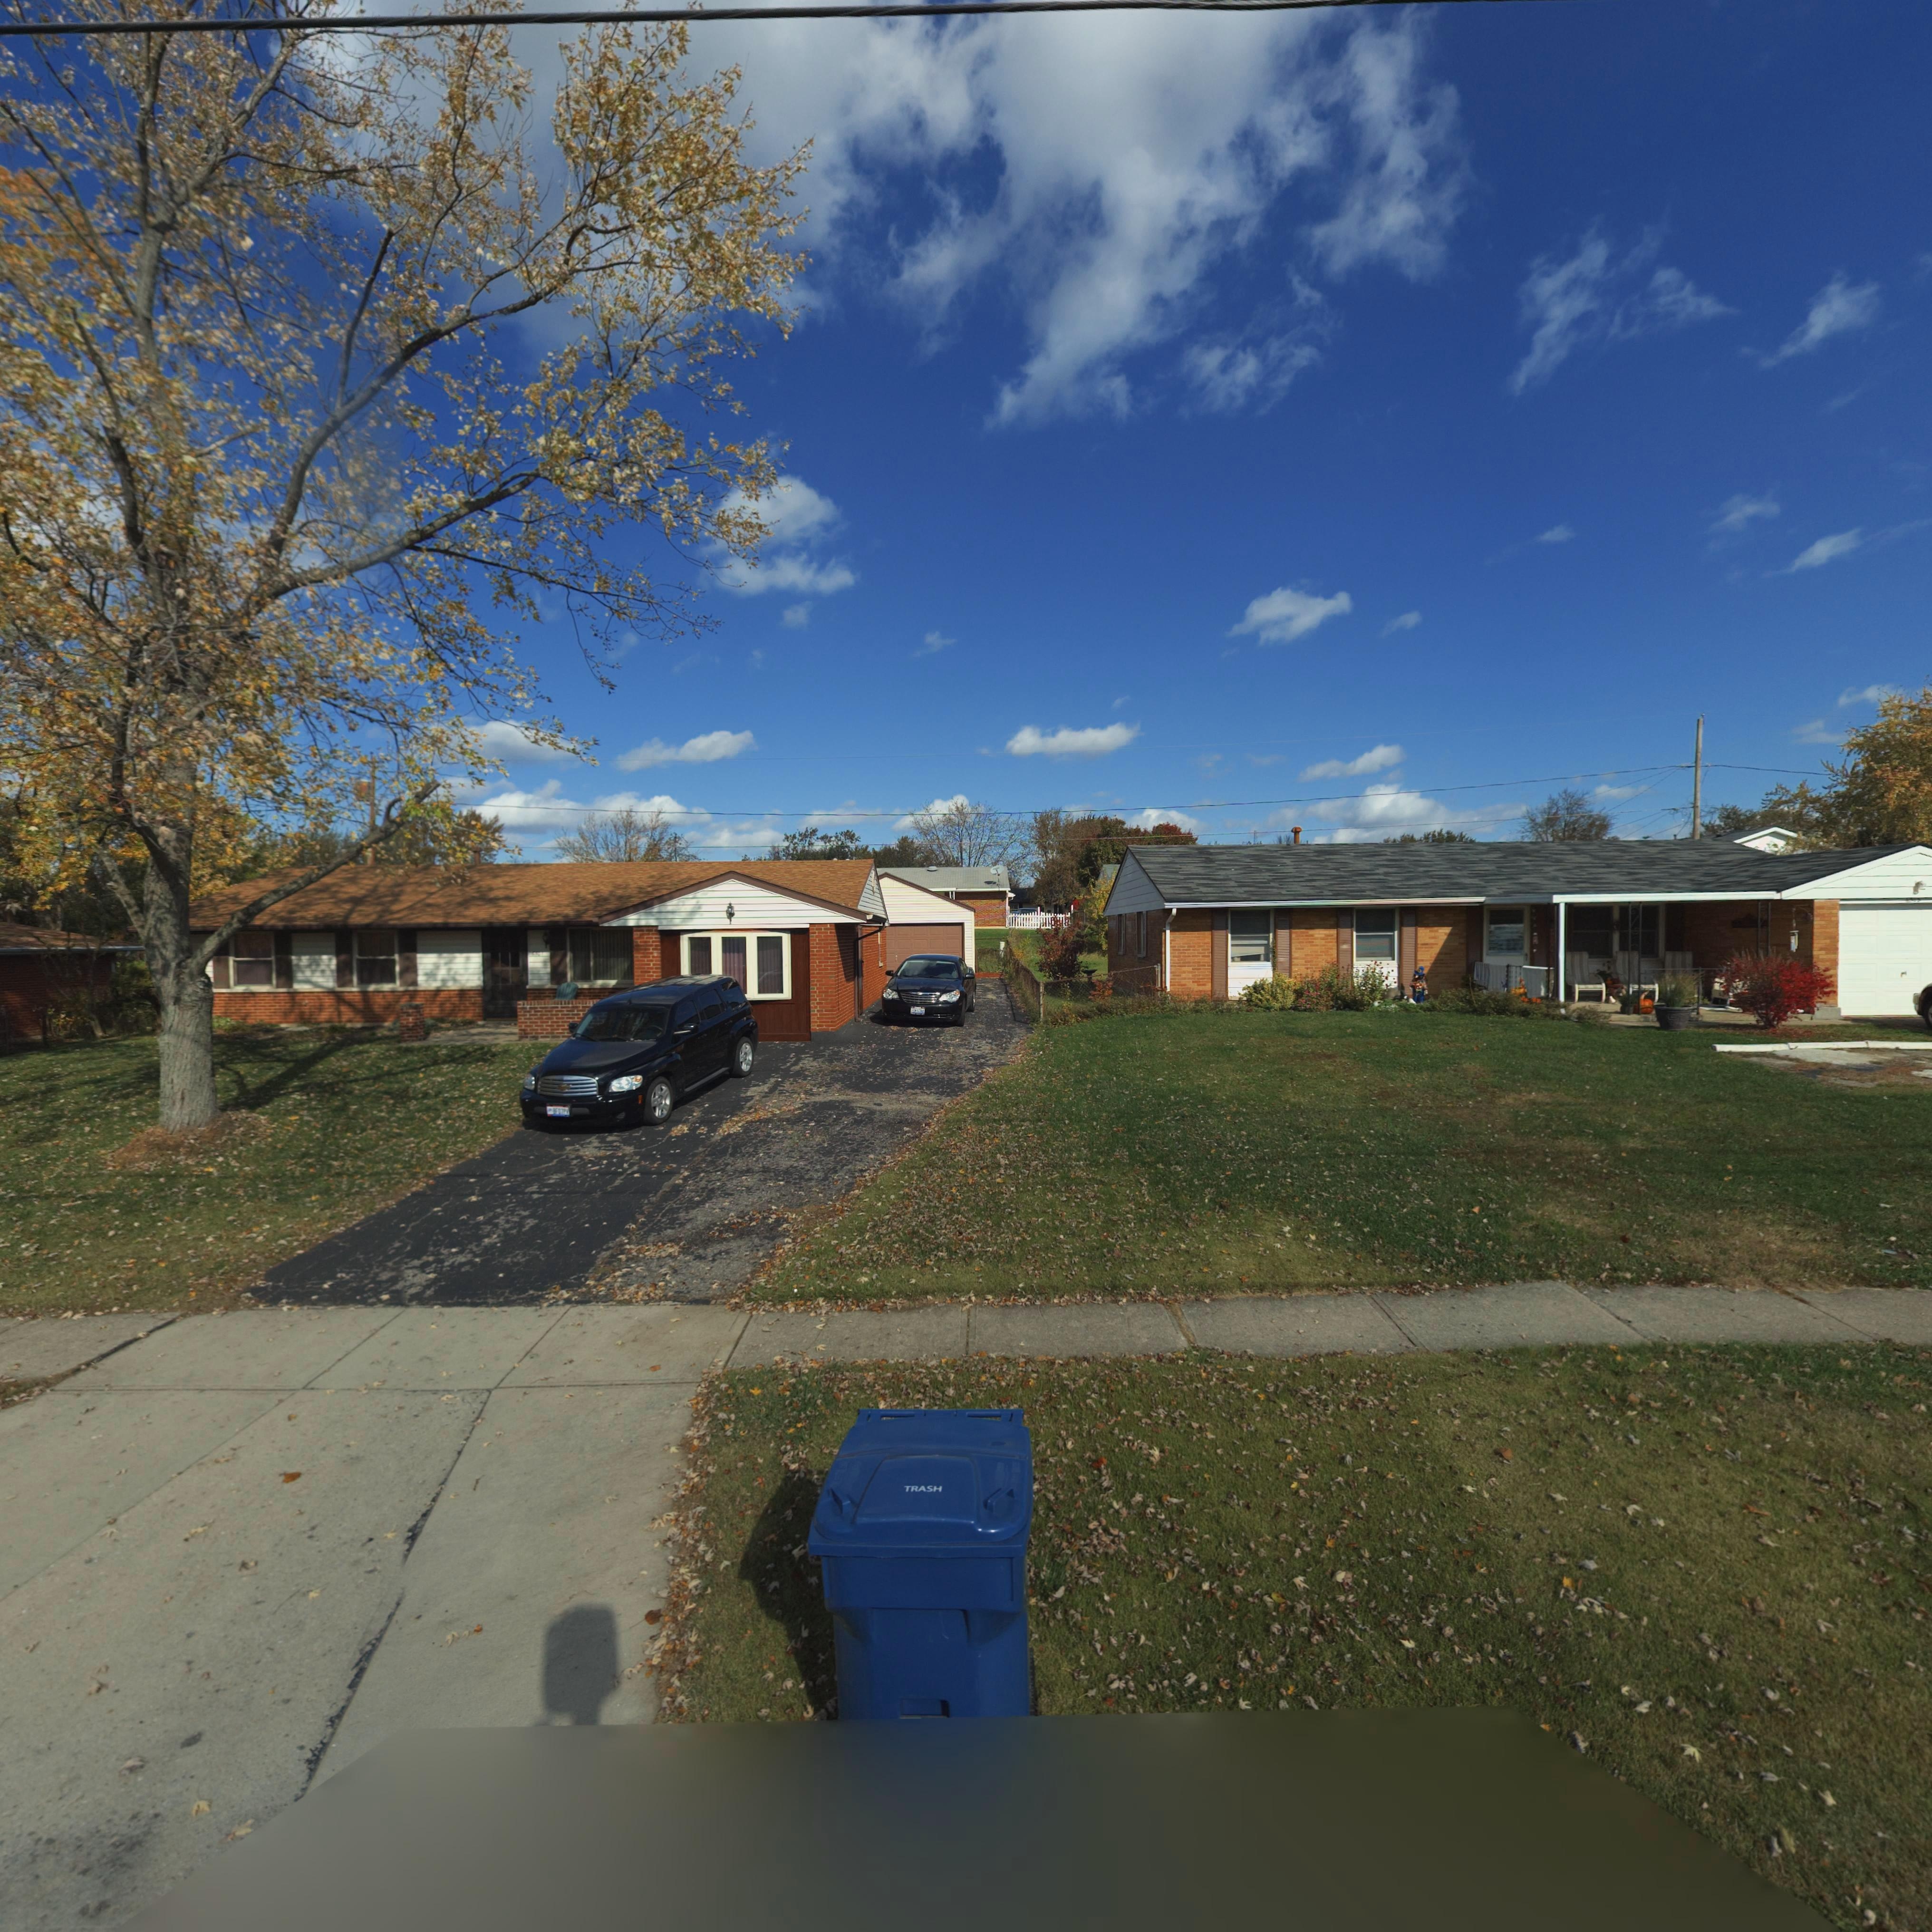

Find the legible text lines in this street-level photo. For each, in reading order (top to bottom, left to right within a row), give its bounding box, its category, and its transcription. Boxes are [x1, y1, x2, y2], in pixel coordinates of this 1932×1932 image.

[1904, 898, 1921, 902] StreetNumber: 6513
[531, 950, 544, 956] StreetNumber: 6501